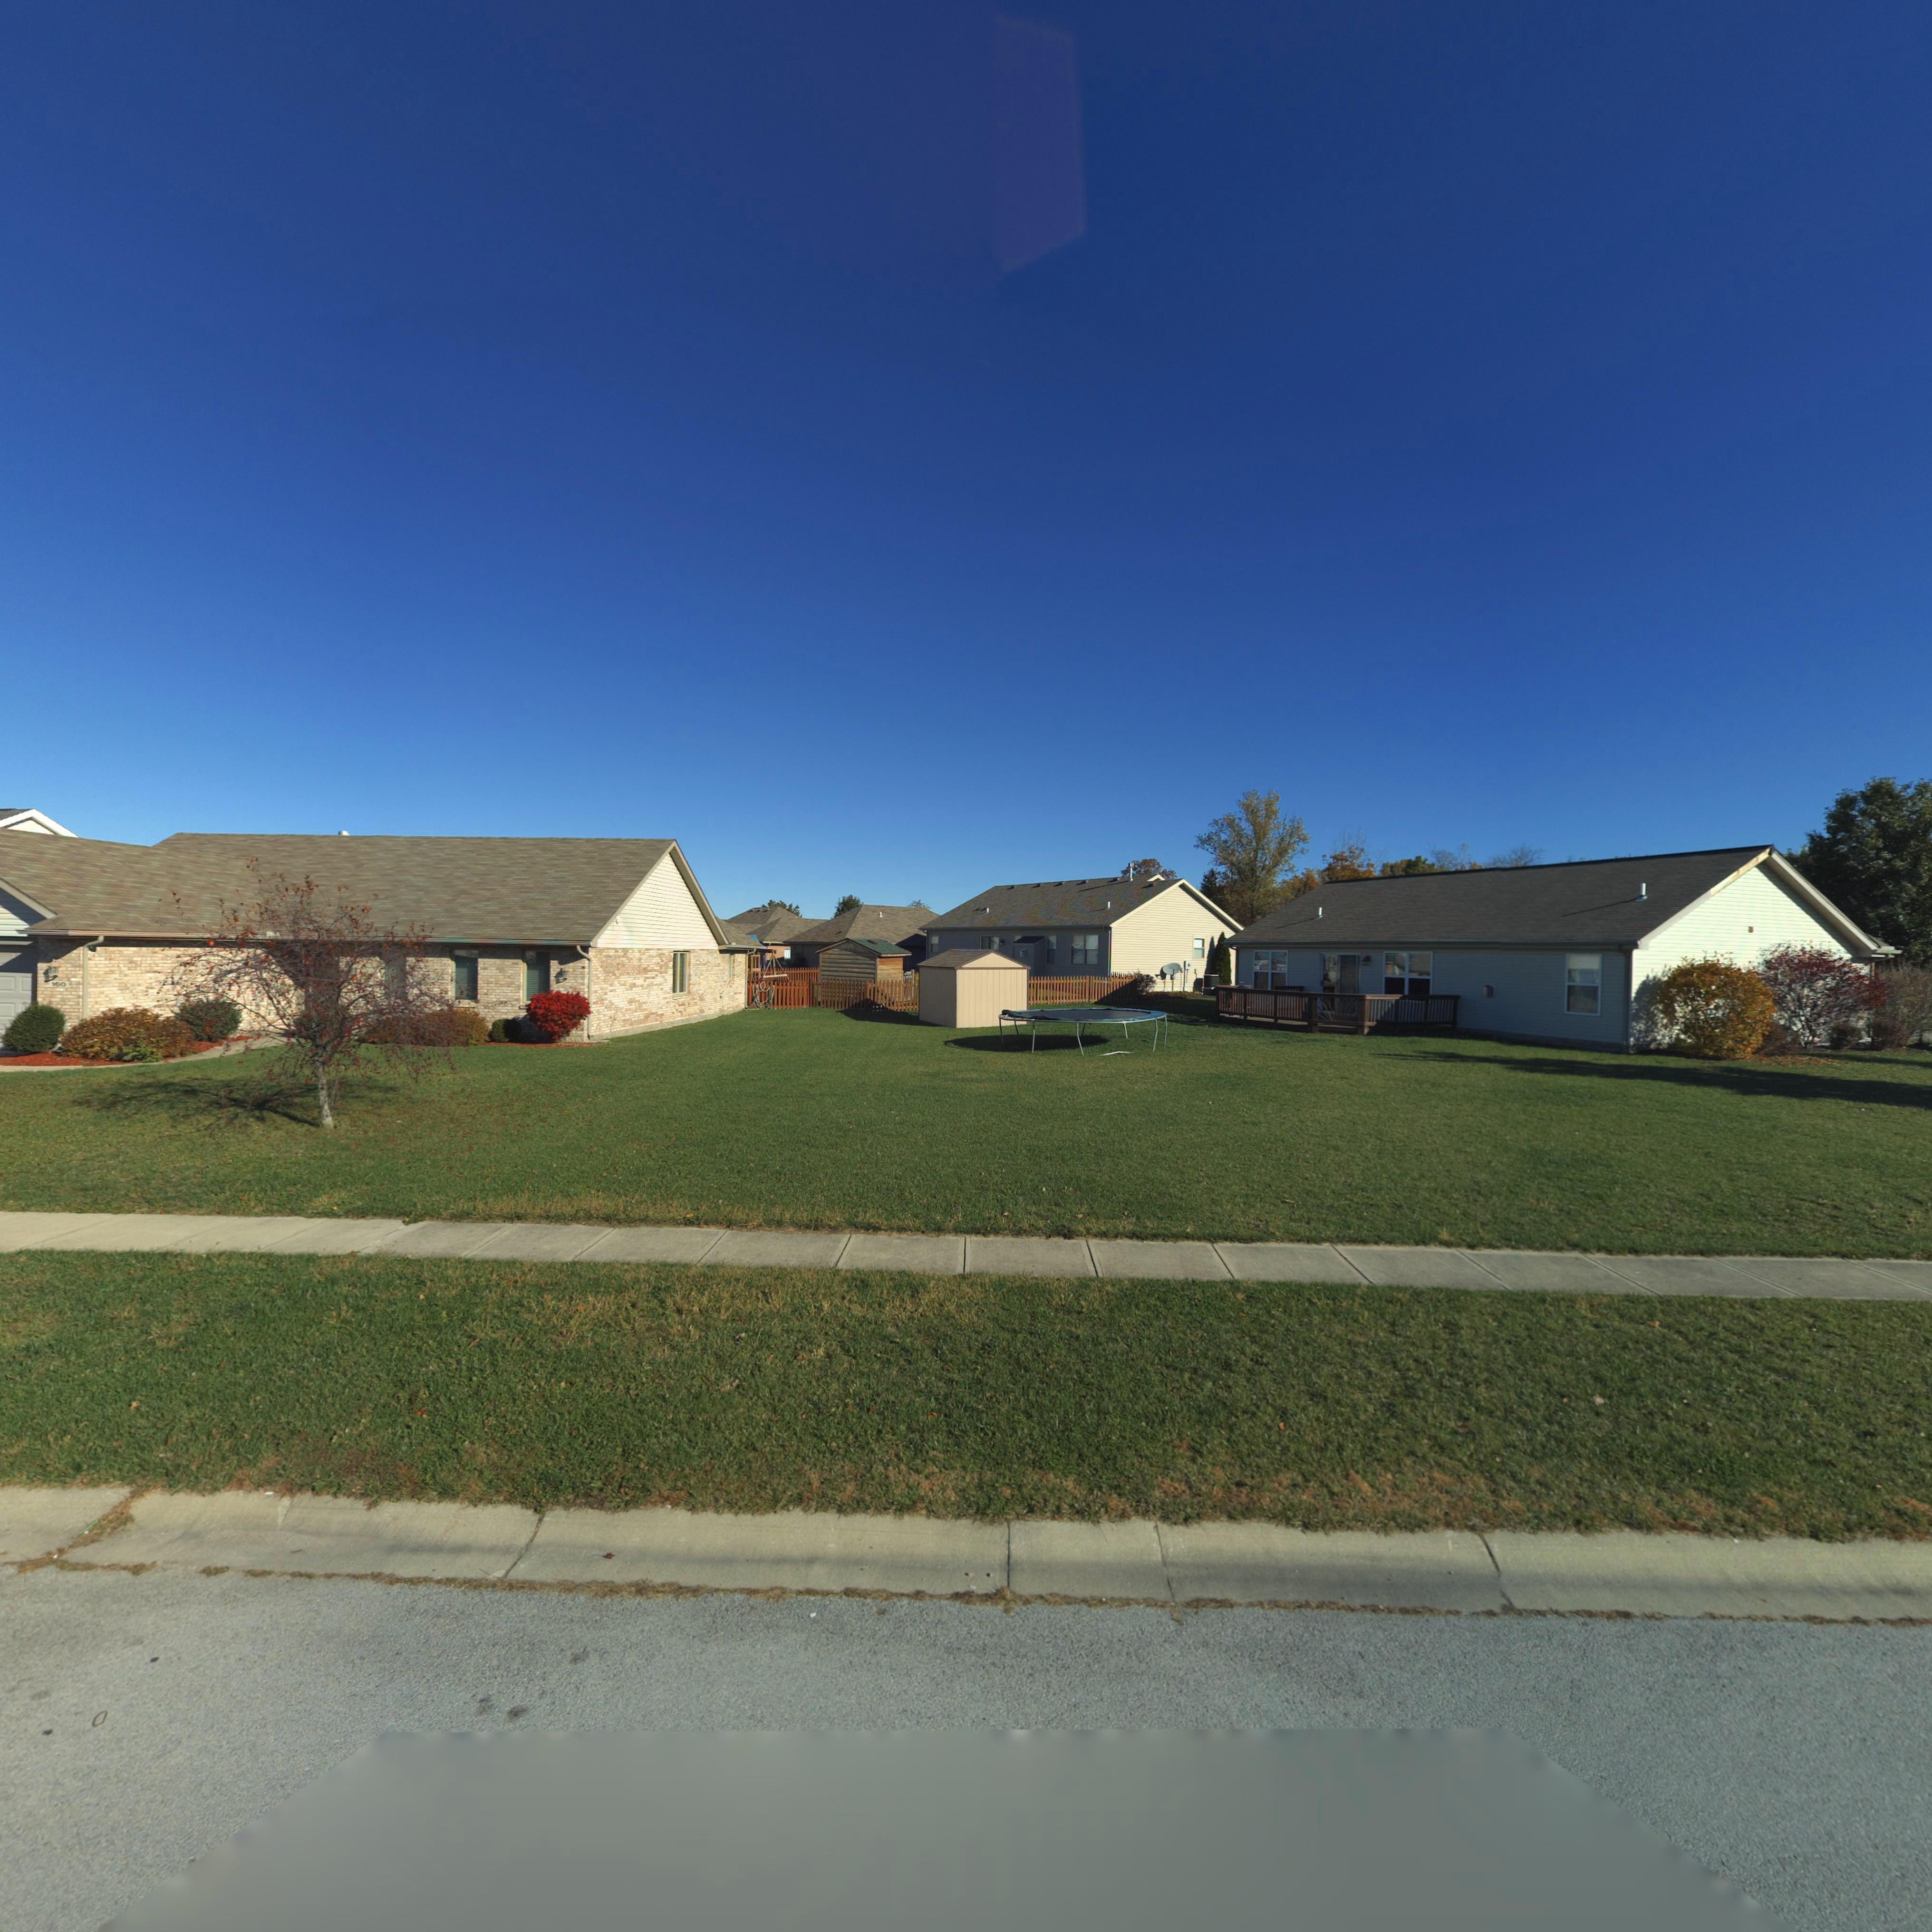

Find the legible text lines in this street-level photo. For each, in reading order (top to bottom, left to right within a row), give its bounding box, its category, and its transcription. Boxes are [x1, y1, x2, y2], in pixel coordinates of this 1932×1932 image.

[51, 981, 67, 987] StreetNumber: 160